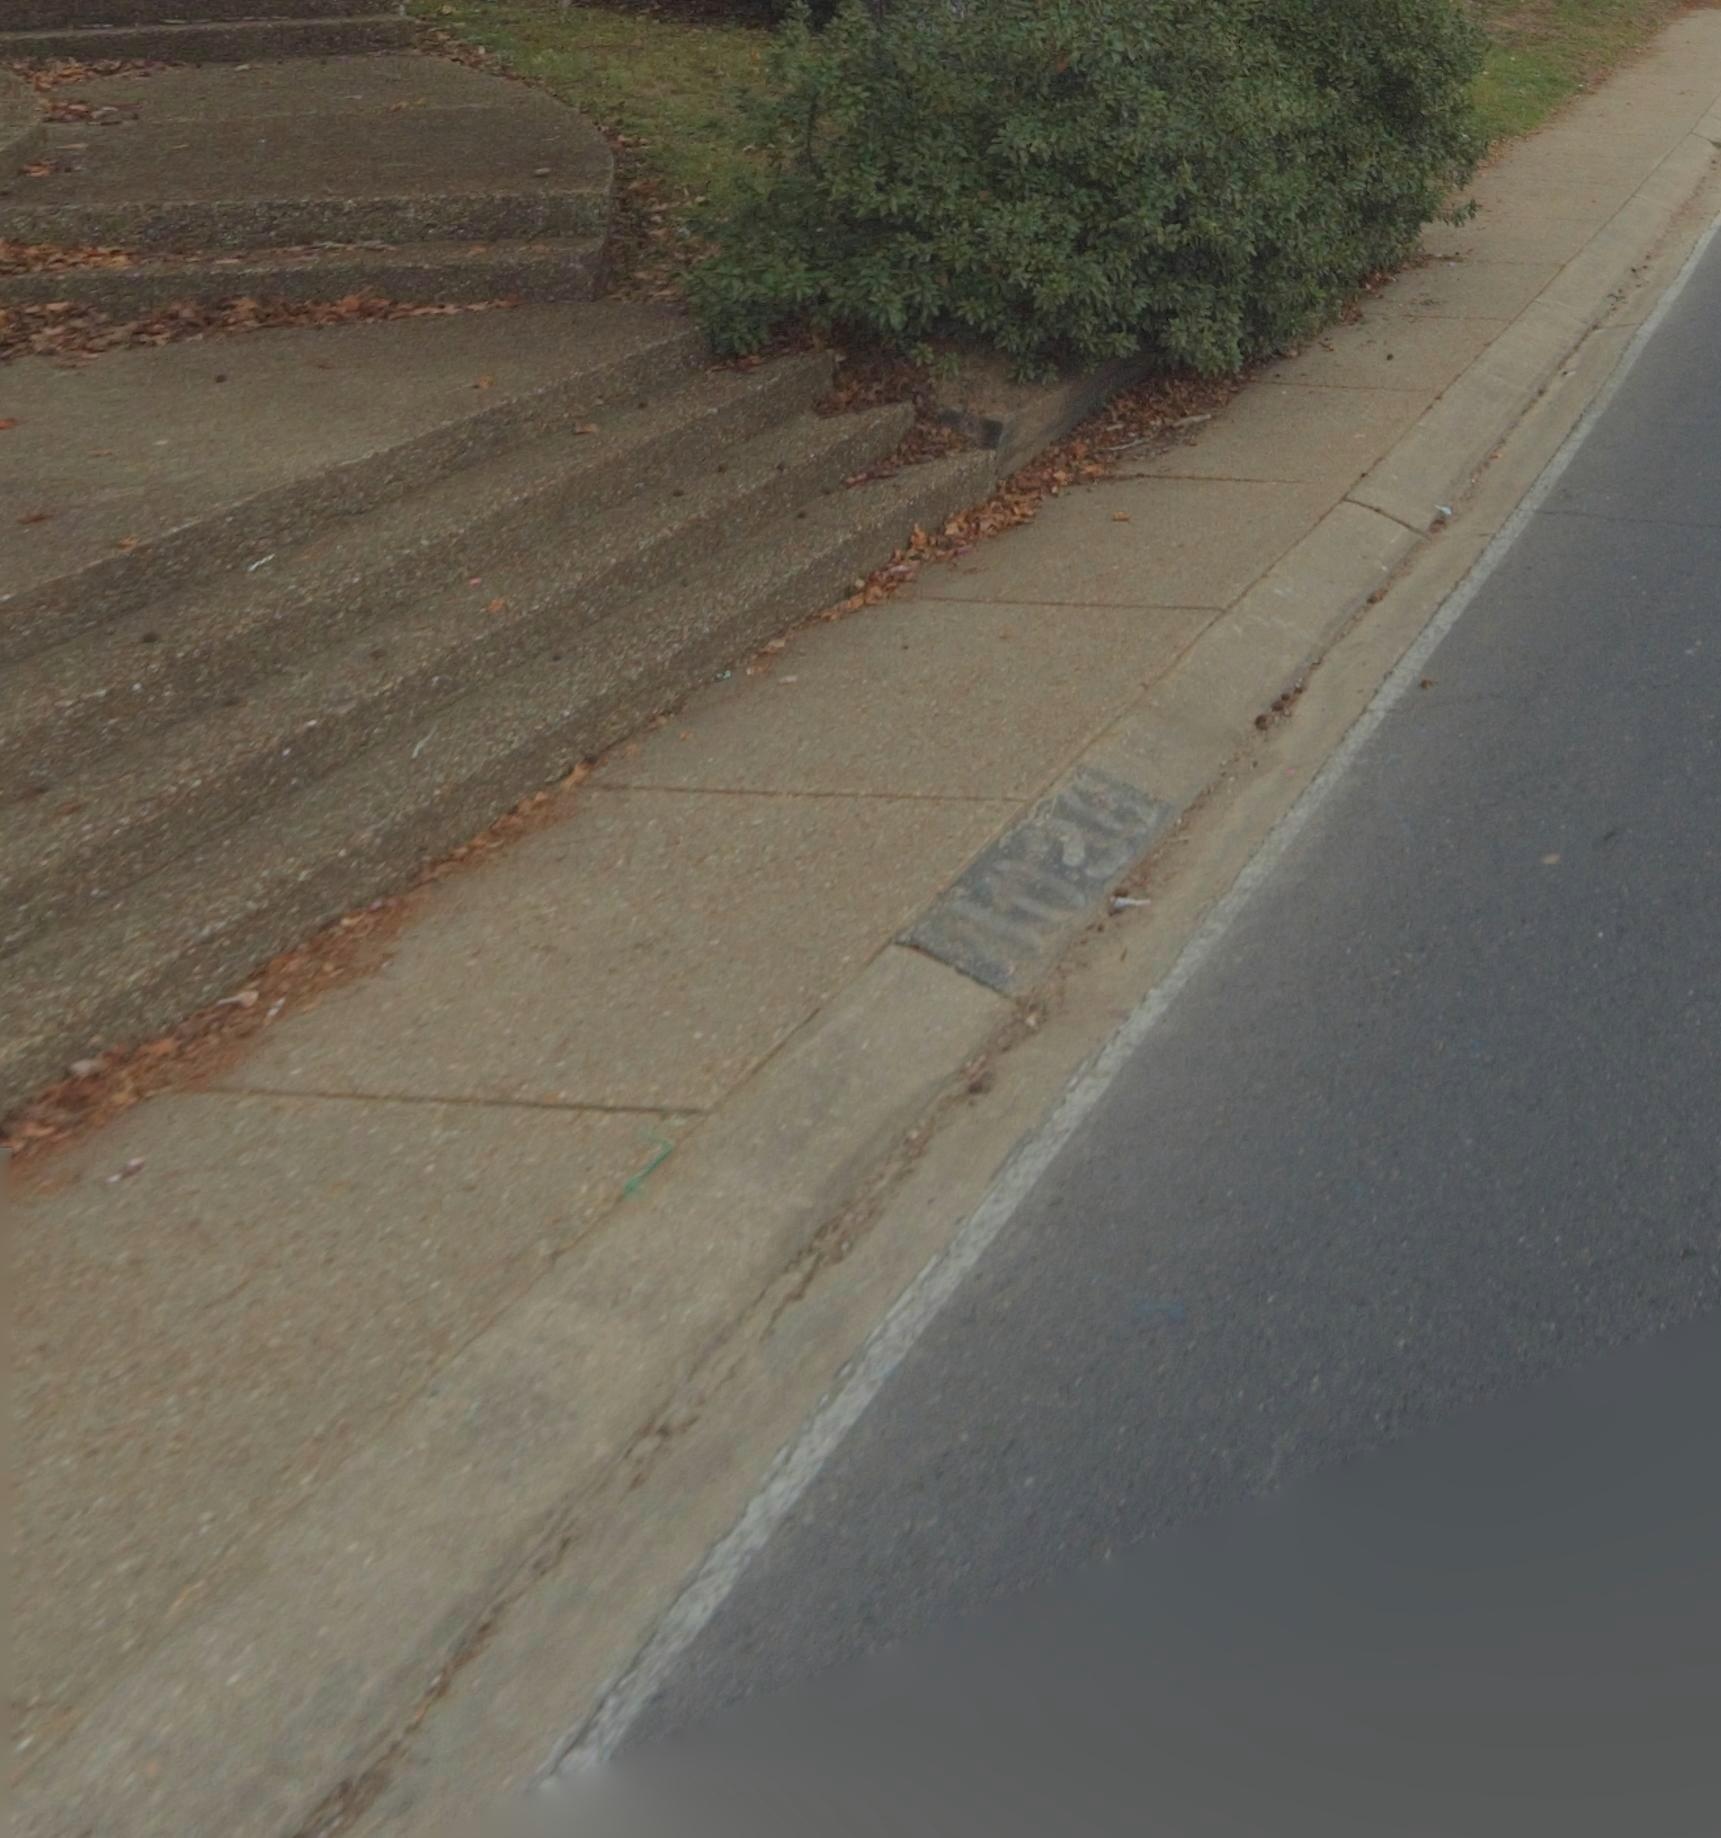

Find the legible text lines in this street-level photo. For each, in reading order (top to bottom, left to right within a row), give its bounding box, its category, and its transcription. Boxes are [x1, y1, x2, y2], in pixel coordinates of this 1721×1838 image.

[936, 762, 1169, 979] StreetNumber: 1038